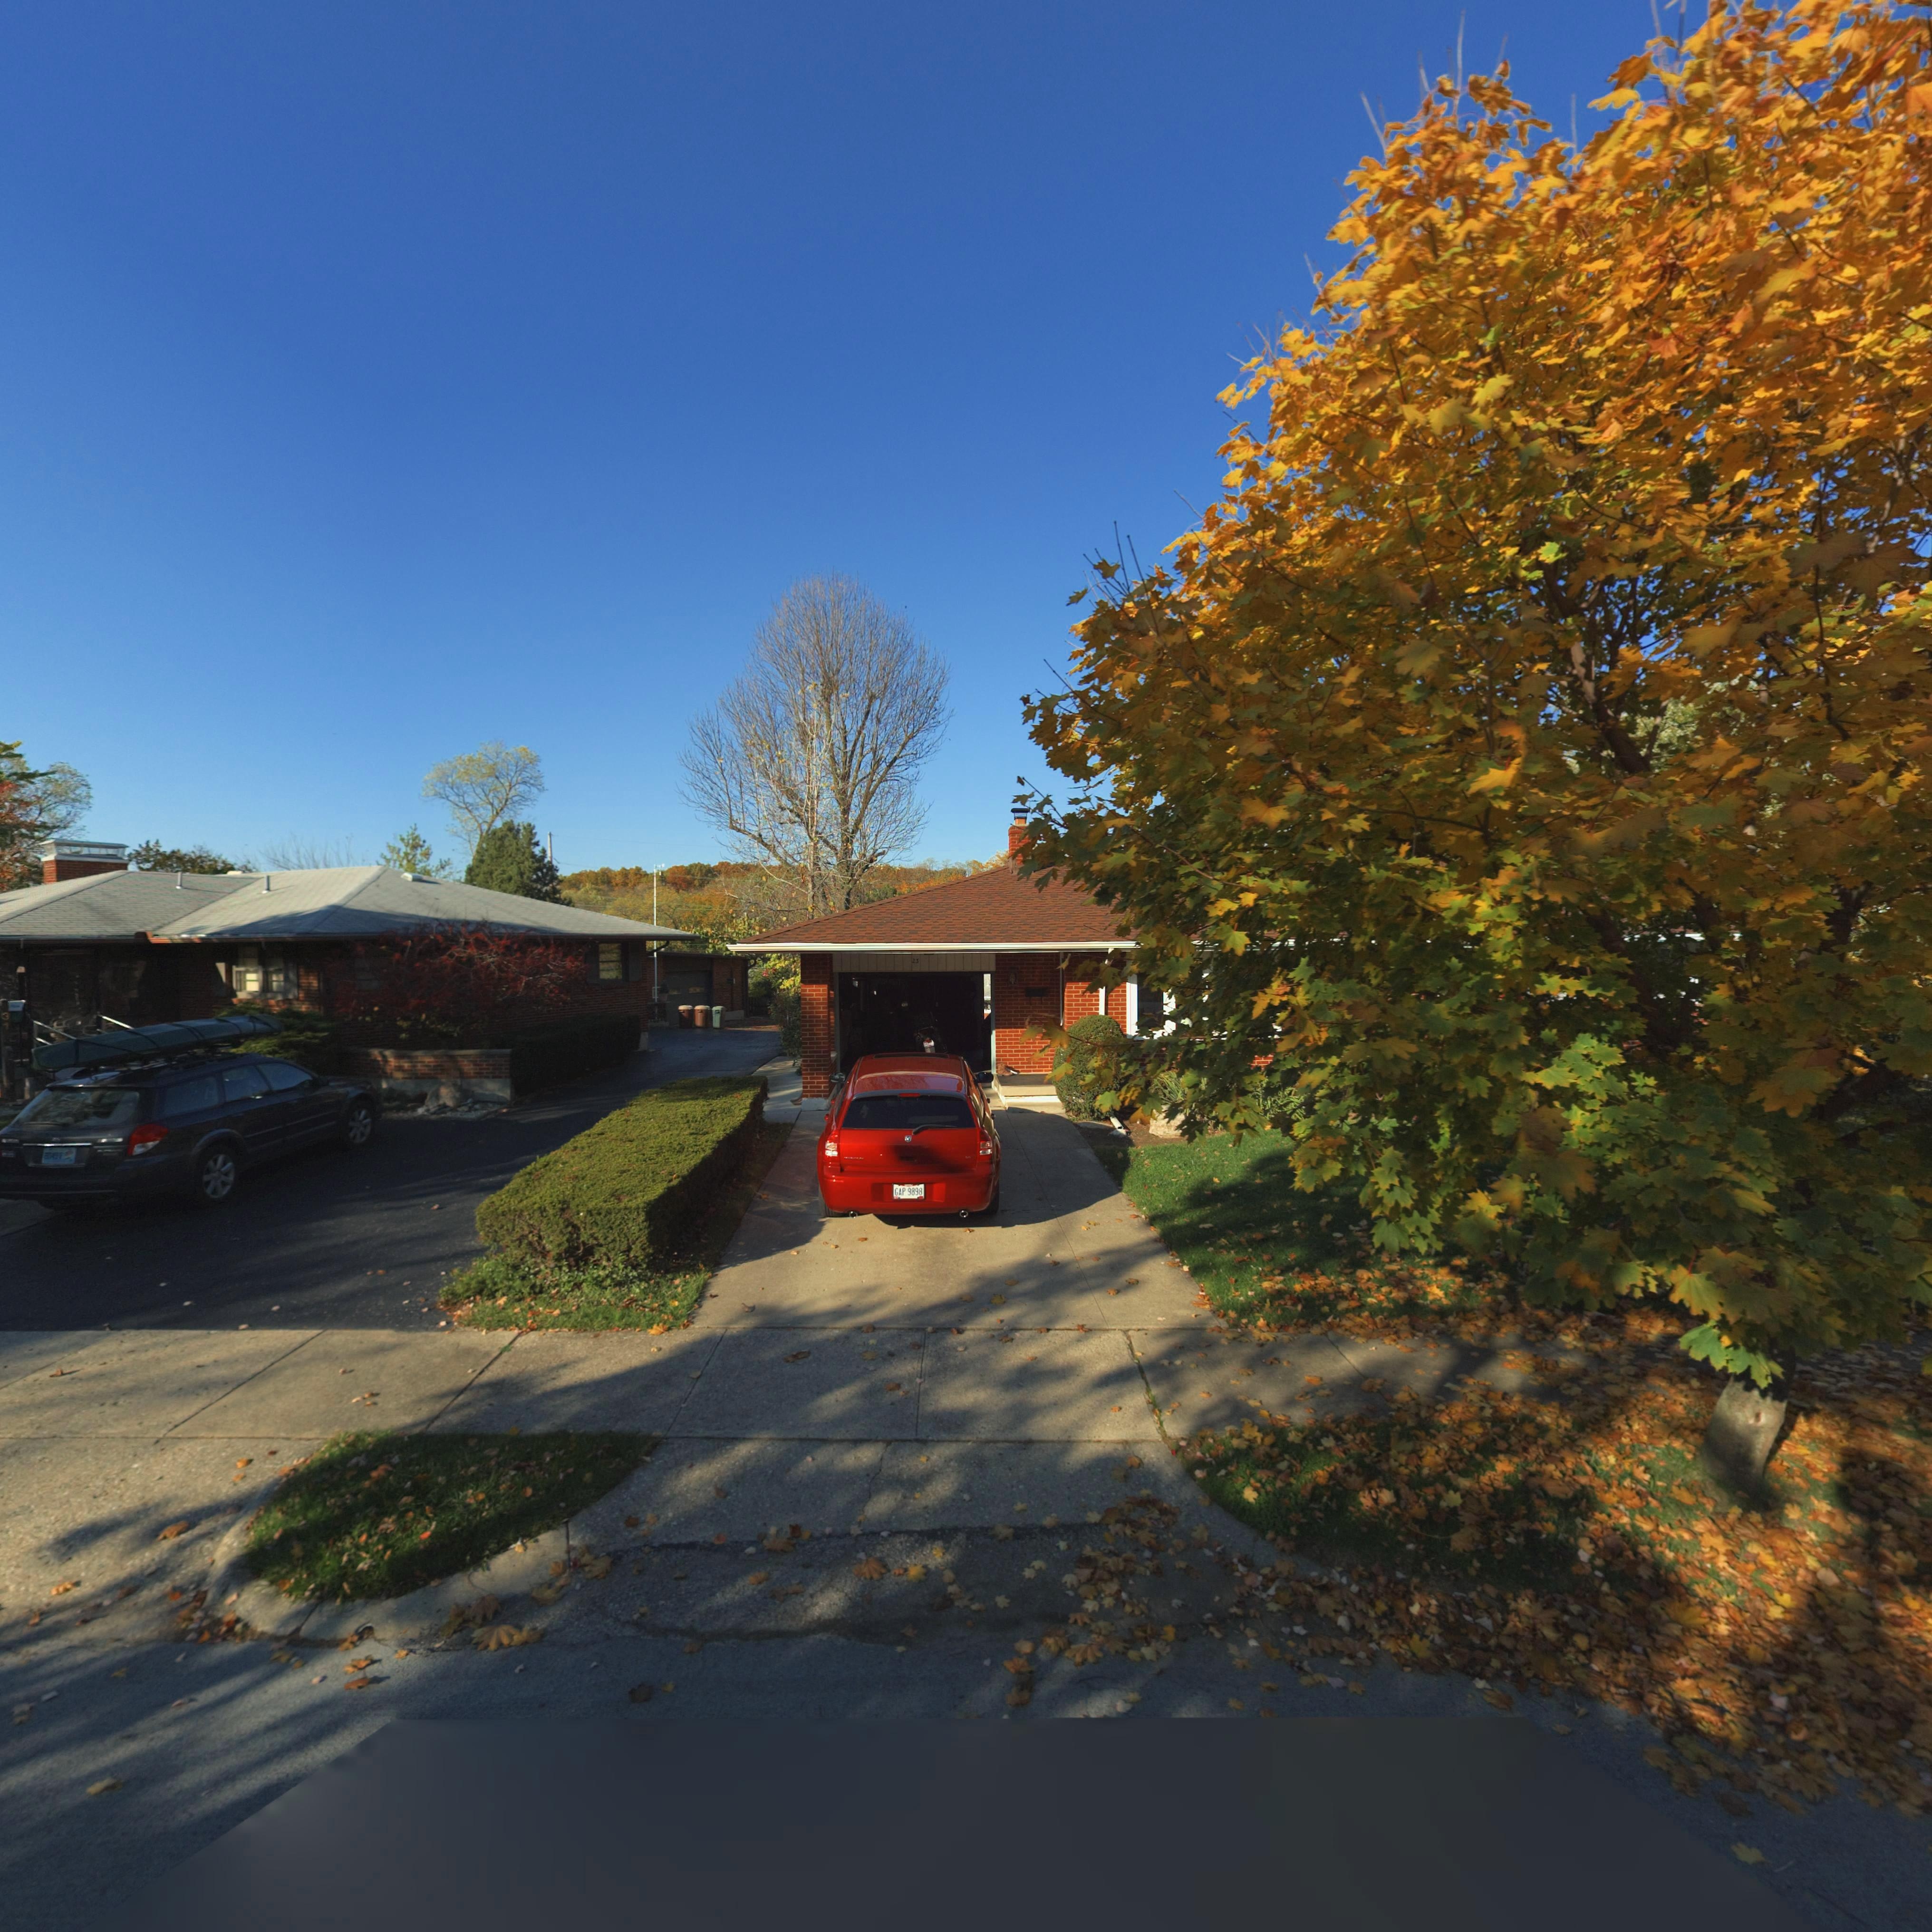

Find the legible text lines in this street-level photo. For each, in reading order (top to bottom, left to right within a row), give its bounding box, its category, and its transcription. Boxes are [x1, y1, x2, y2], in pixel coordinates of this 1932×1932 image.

[912, 958, 919, 963] StreetNumber: 23
[1, 1012, 10, 1031] StreetNumber: 31